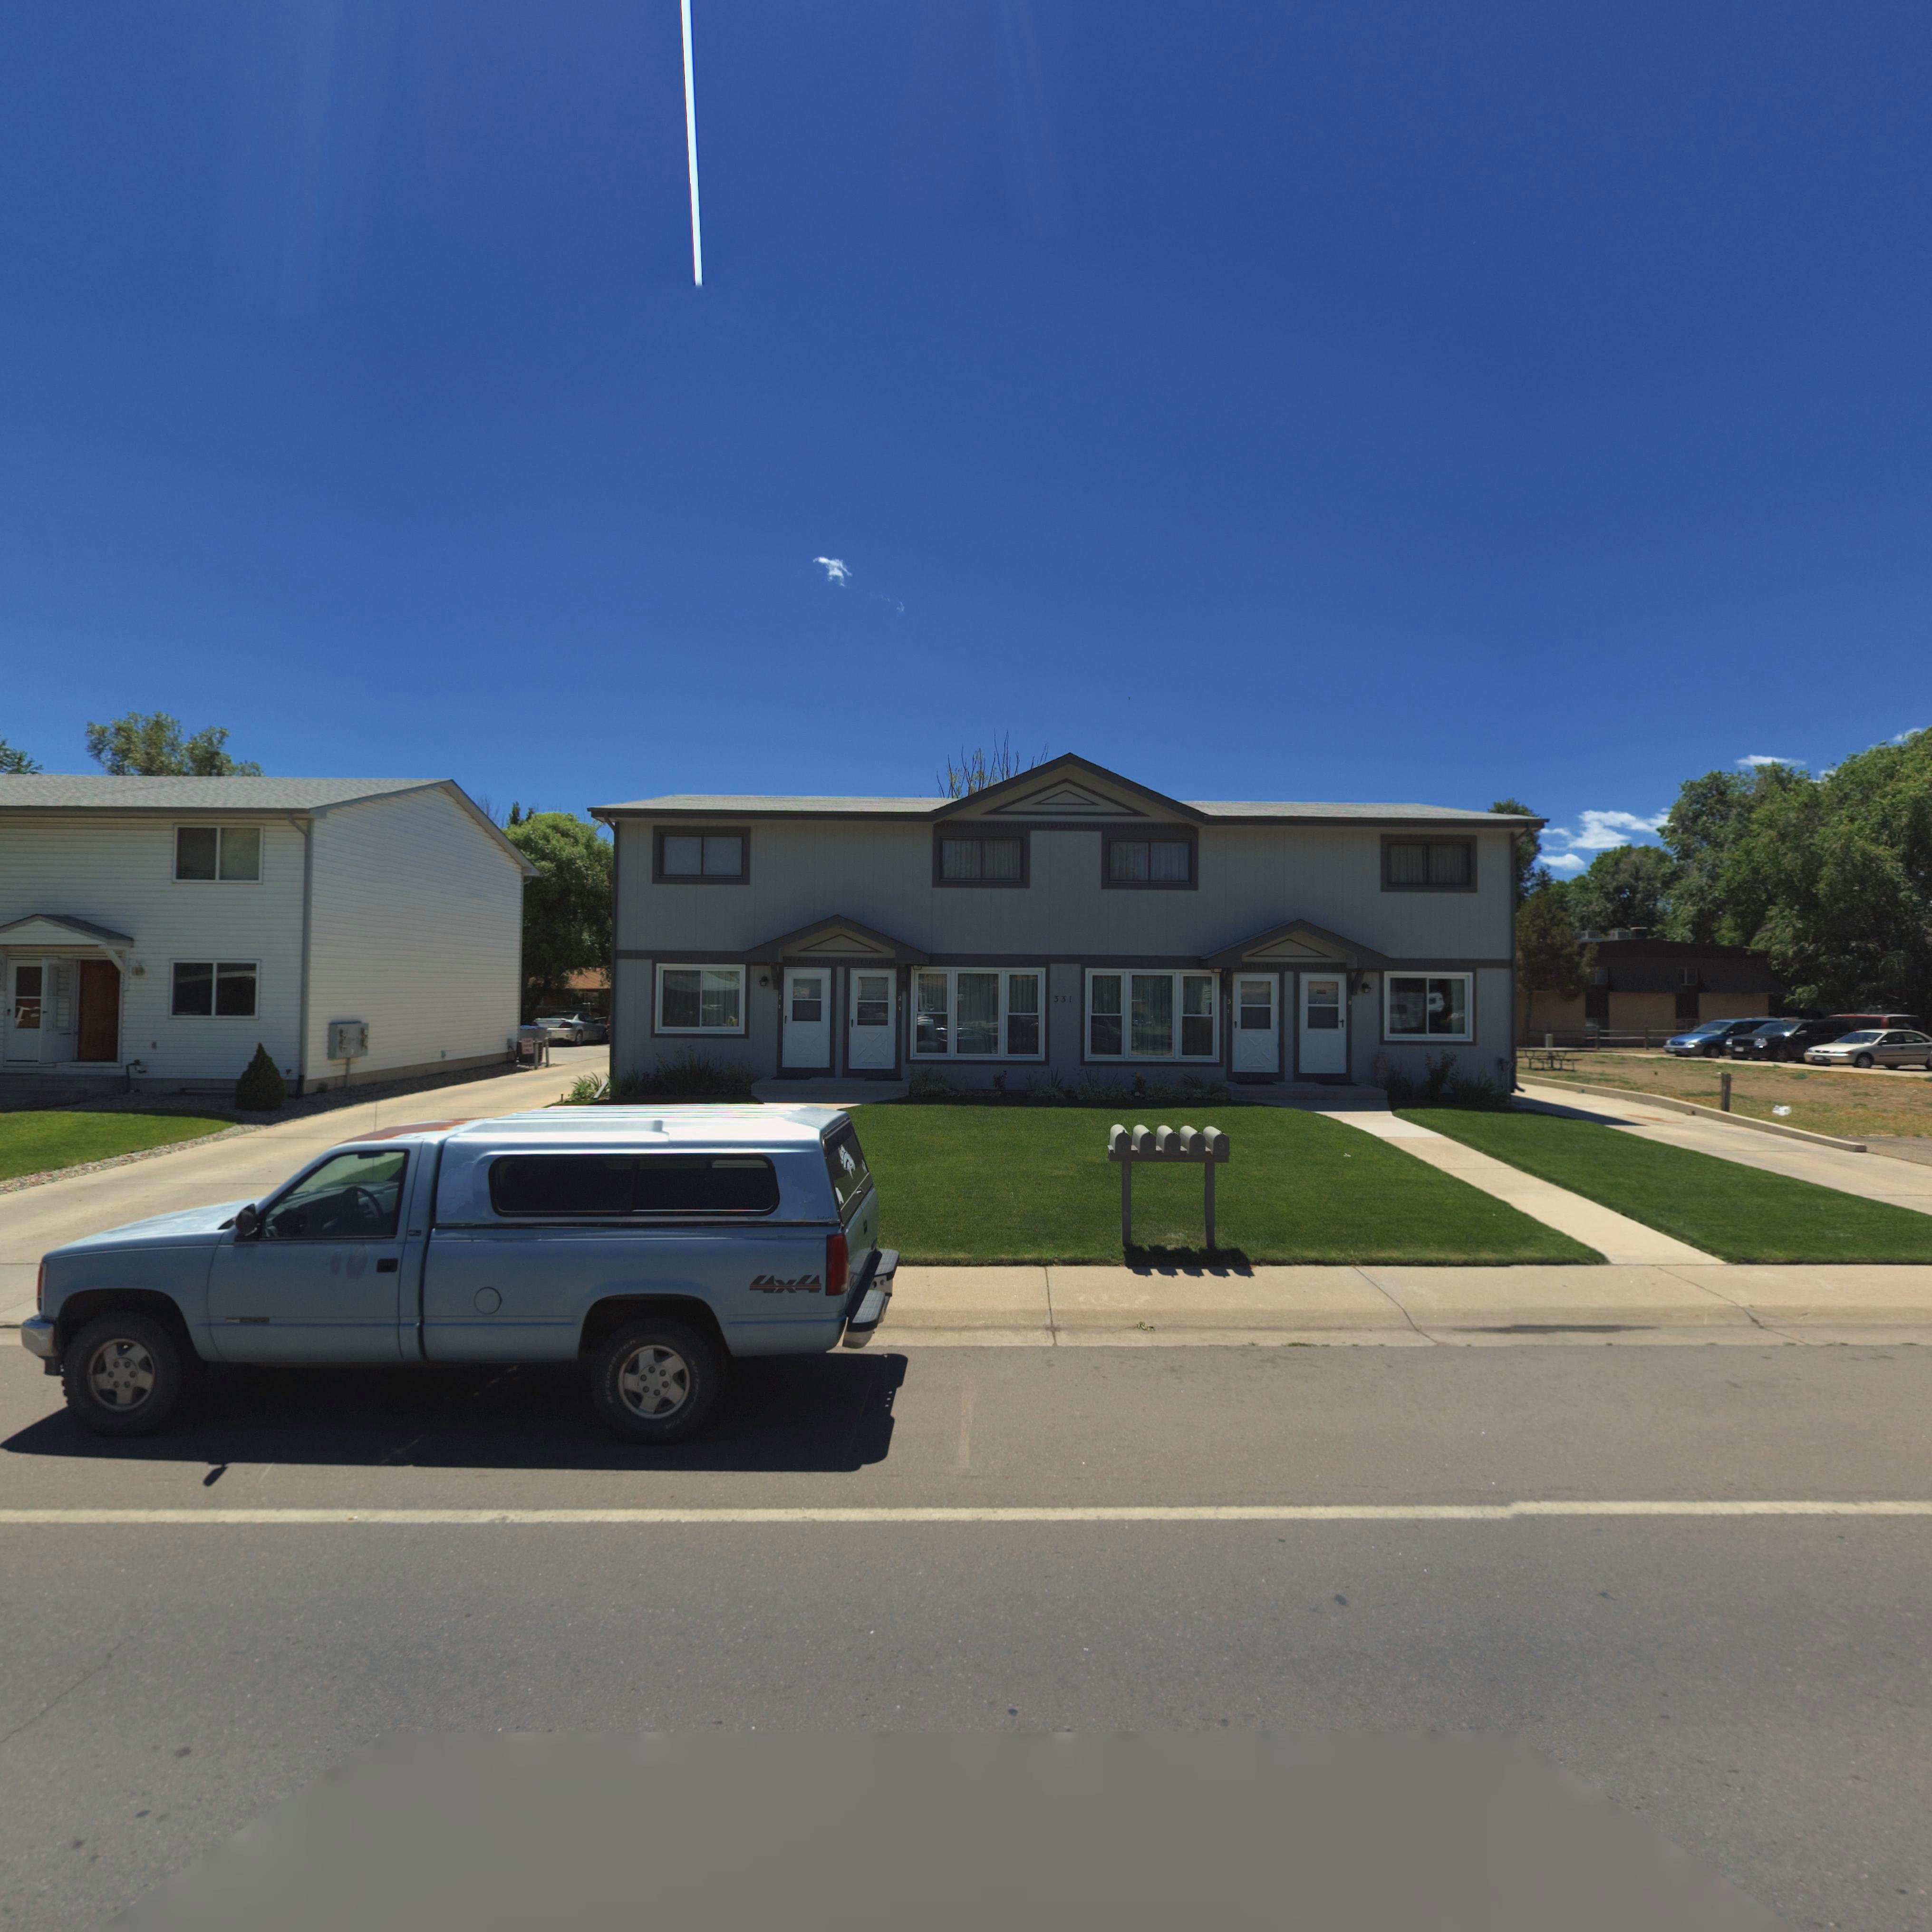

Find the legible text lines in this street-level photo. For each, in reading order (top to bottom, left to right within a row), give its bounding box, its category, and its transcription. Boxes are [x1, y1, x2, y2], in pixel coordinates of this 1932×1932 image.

[778, 994, 781, 1000] StreetNumber: 1
[898, 995, 901, 1001] StreetNumber: 2
[1053, 995, 1072, 1003] StreetNumber: 331
[1227, 998, 1231, 1004] StreetNumber: 3
[1347, 1000, 1351, 1005] StreetNumber: 4